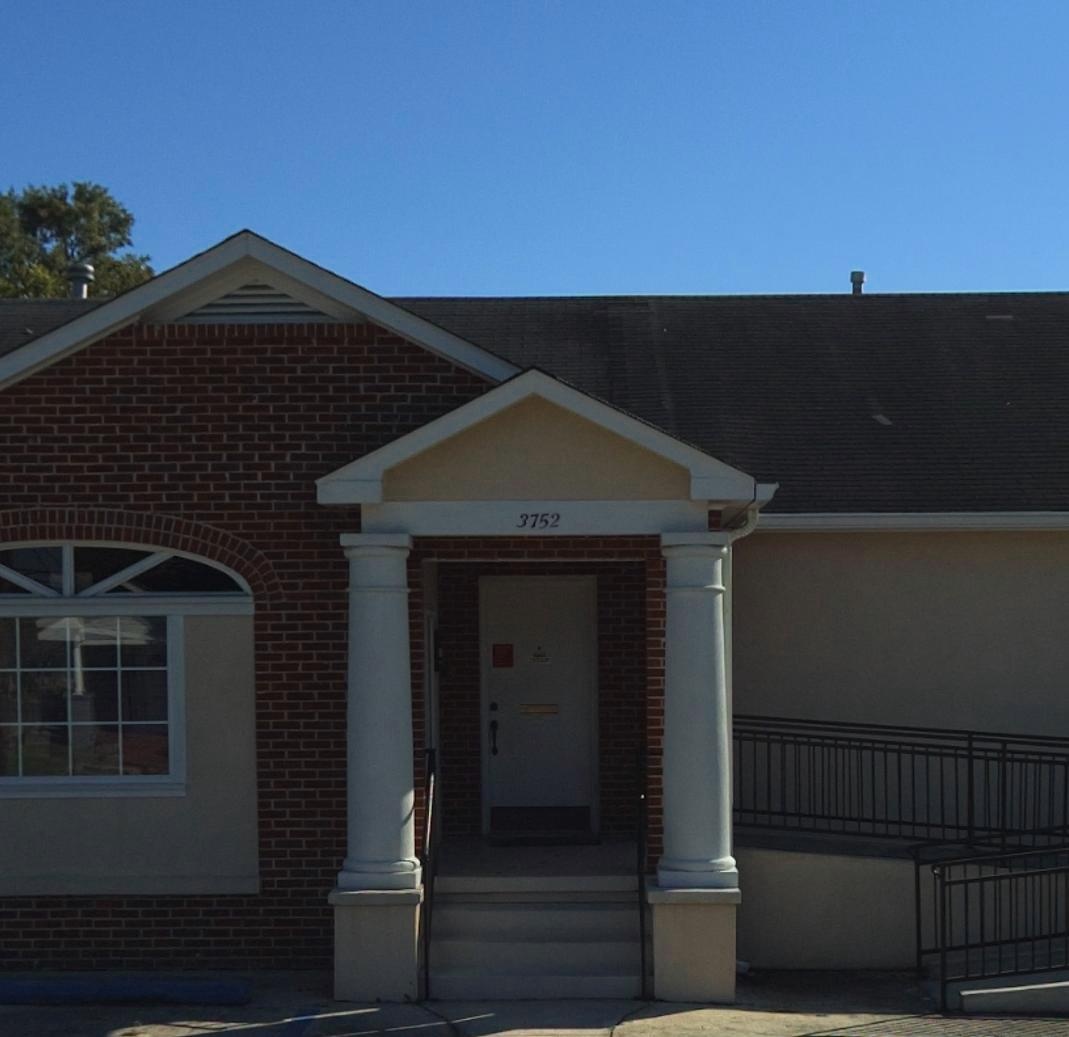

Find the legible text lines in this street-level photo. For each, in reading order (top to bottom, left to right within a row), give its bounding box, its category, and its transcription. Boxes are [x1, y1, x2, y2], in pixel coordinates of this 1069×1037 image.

[512, 510, 565, 531] StreetNumber: 3752